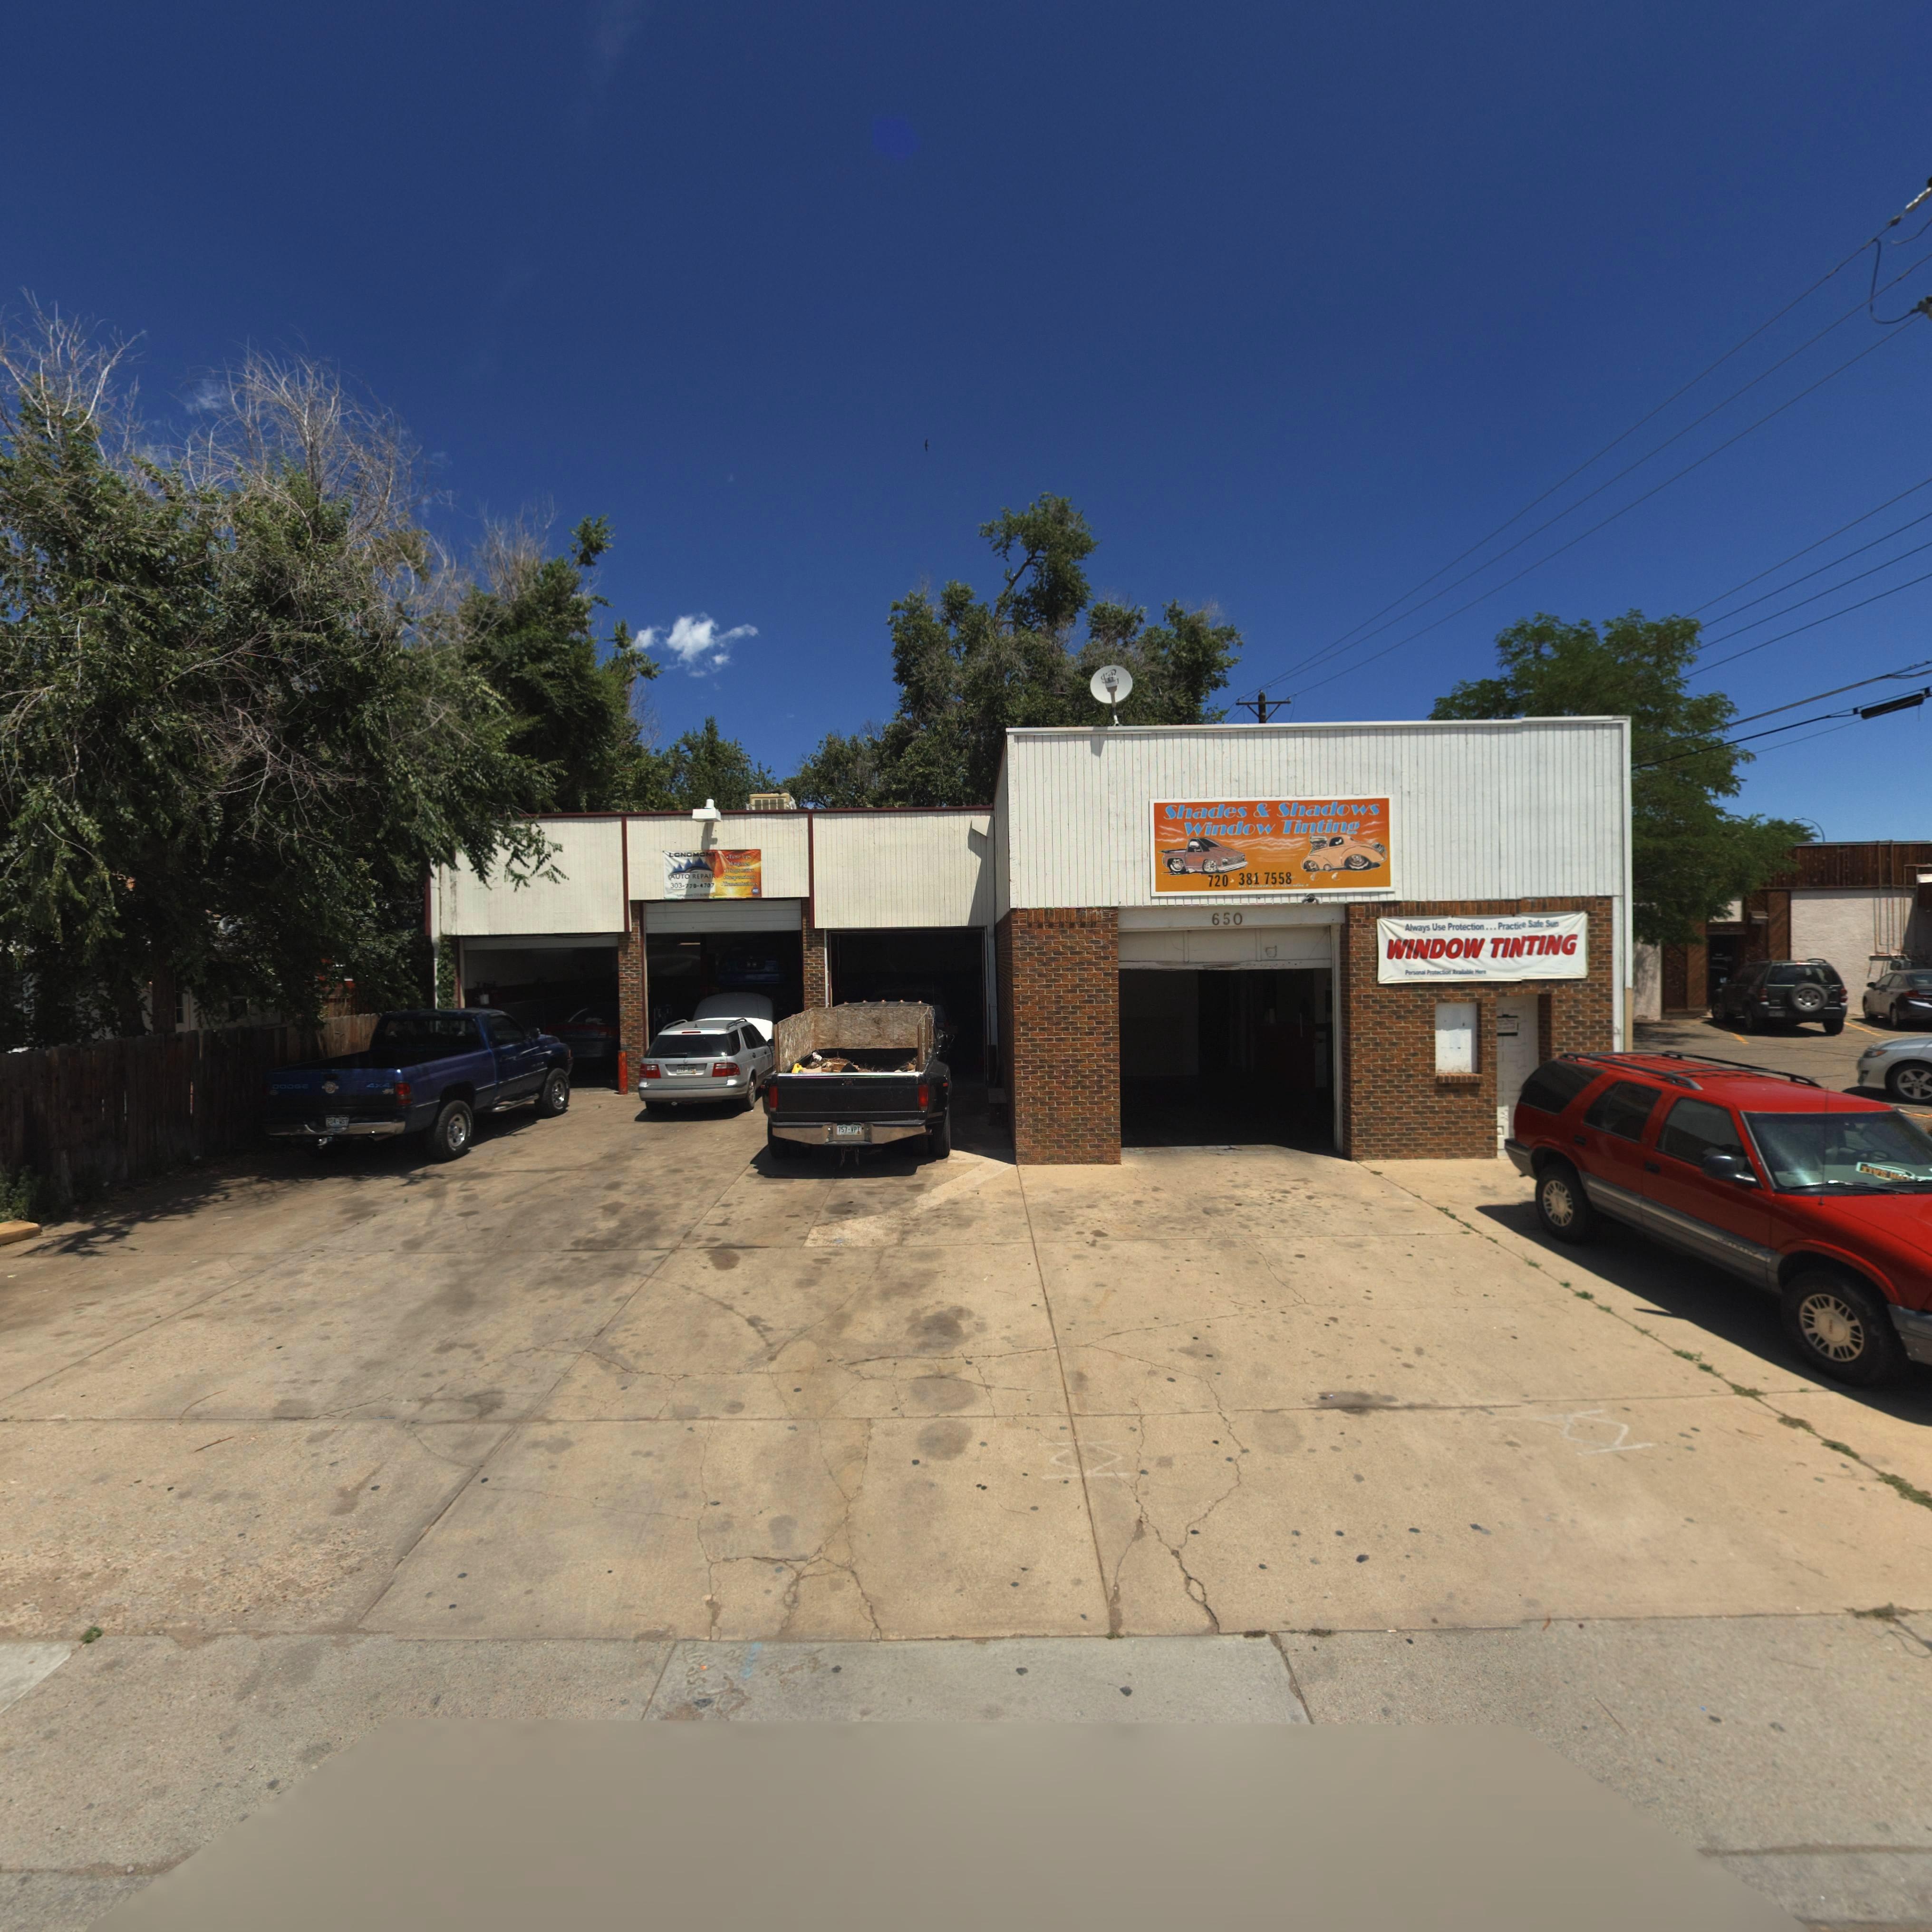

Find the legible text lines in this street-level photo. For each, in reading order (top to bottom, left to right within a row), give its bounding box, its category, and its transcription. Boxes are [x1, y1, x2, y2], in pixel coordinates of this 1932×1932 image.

[1161, 801, 1381, 820] BusinessName: Shades & Shadows
[1211, 911, 1244, 926] StreetNumber: 650